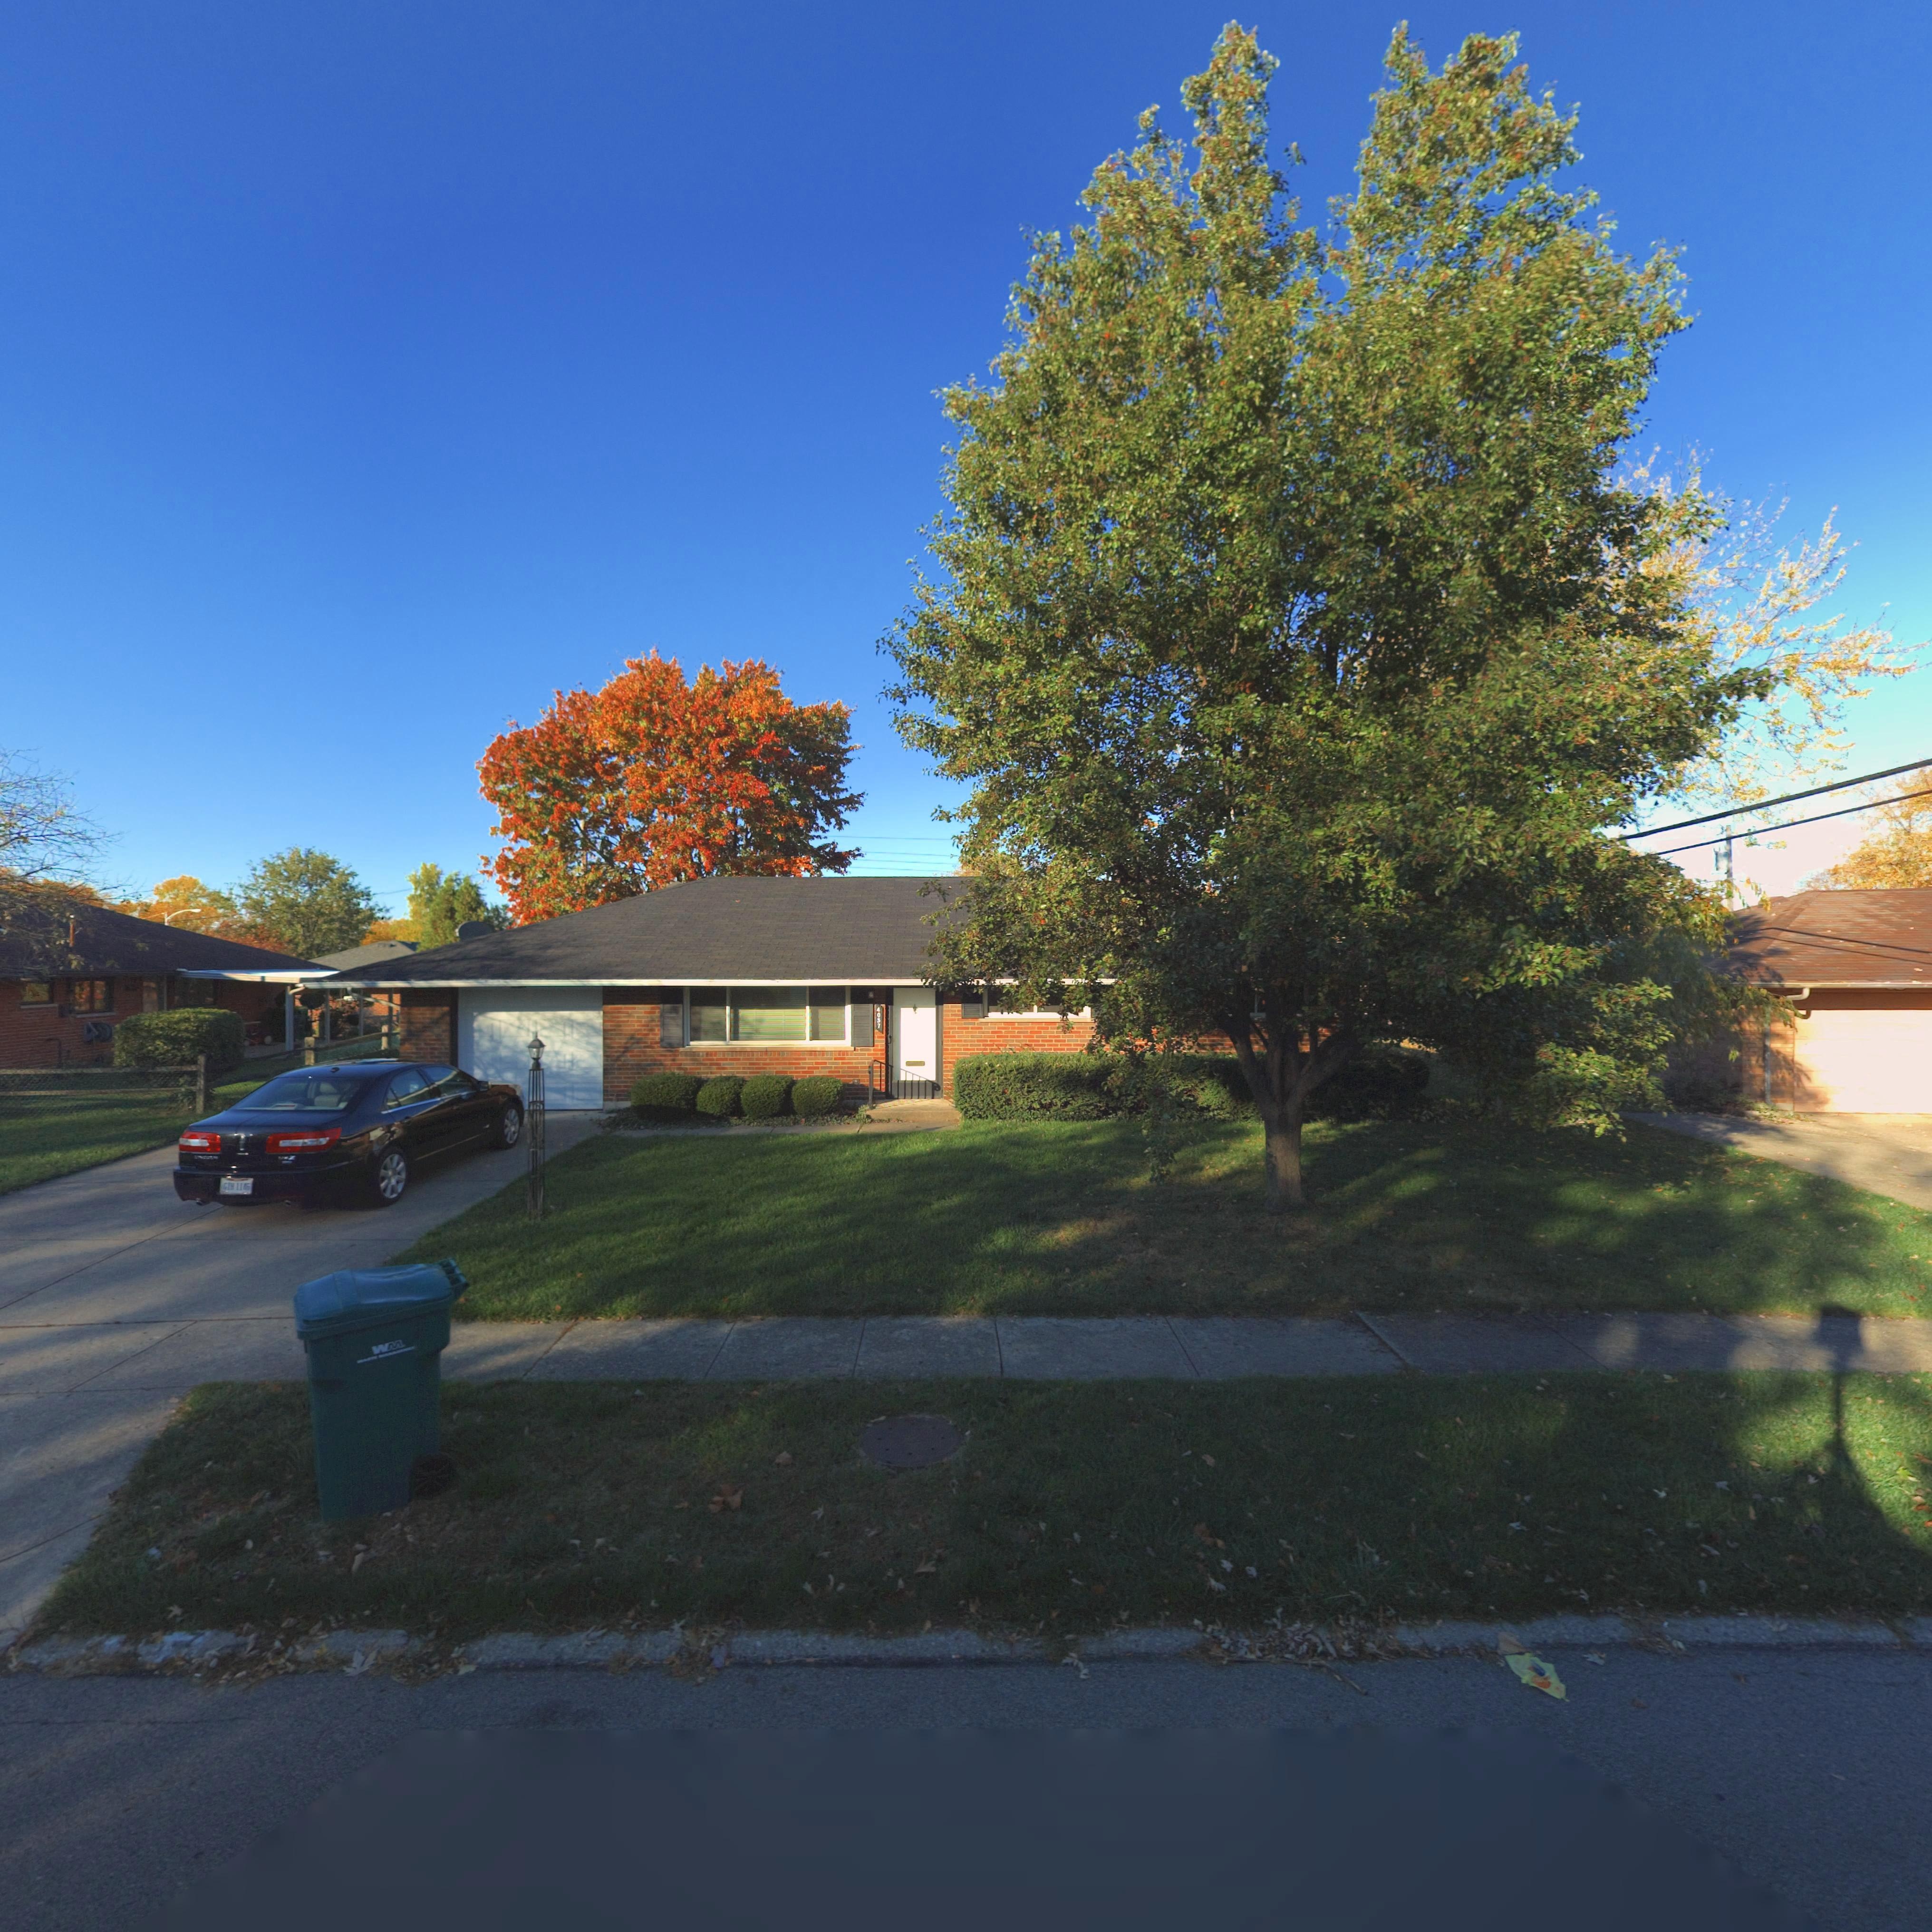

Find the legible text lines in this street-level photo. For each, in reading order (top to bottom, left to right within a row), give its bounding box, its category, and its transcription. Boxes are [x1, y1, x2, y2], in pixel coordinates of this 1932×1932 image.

[876, 1006, 881, 1029] StreetNumber: 4057